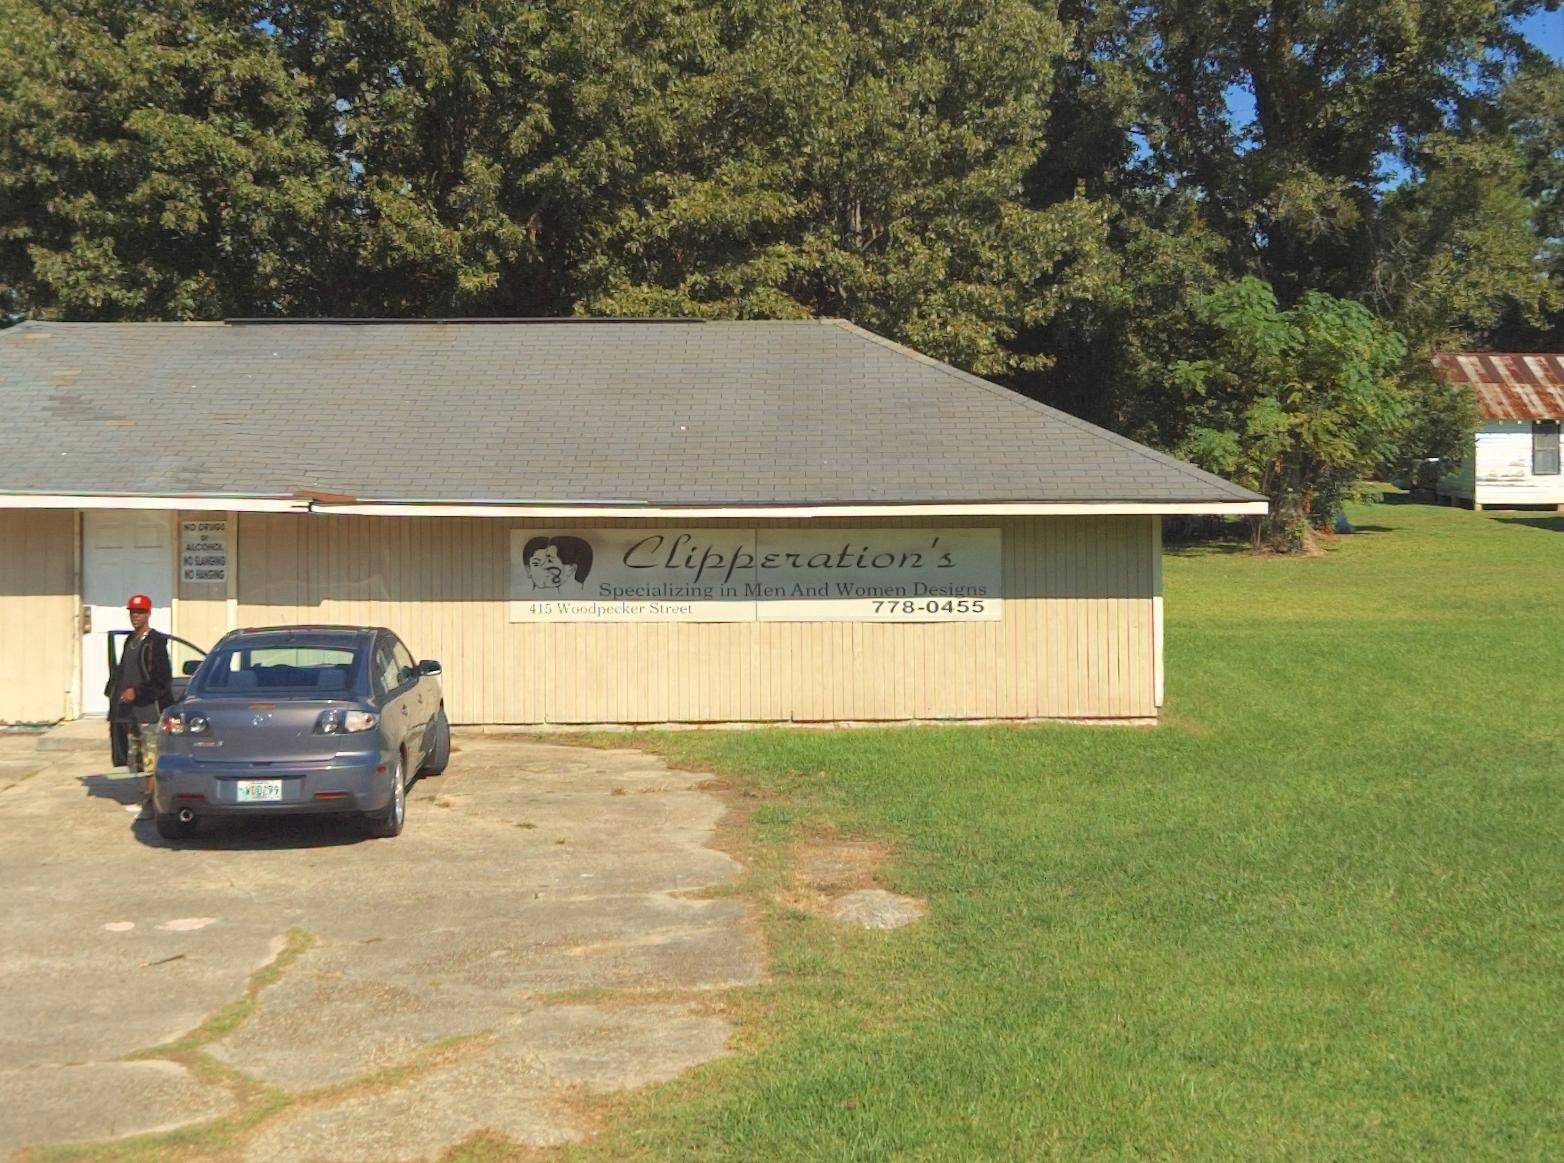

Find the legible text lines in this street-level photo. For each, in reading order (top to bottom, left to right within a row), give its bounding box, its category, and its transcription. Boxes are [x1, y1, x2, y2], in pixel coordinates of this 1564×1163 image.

[183, 522, 226, 532] None: NO DRUGS
[183, 541, 226, 553] None: ALCOHOL
[183, 555, 194, 567] None: NO
[621, 532, 958, 584] BusinessName: Clipperation's
[183, 568, 195, 581] None: NO
[598, 582, 988, 601] None: Specializing in Men And Women Designs
[528, 602, 553, 616] StreetNumber: 415
[554, 601, 693, 618] StreetName: Woodpecker Street
[871, 600, 985, 614] None: 778-0455